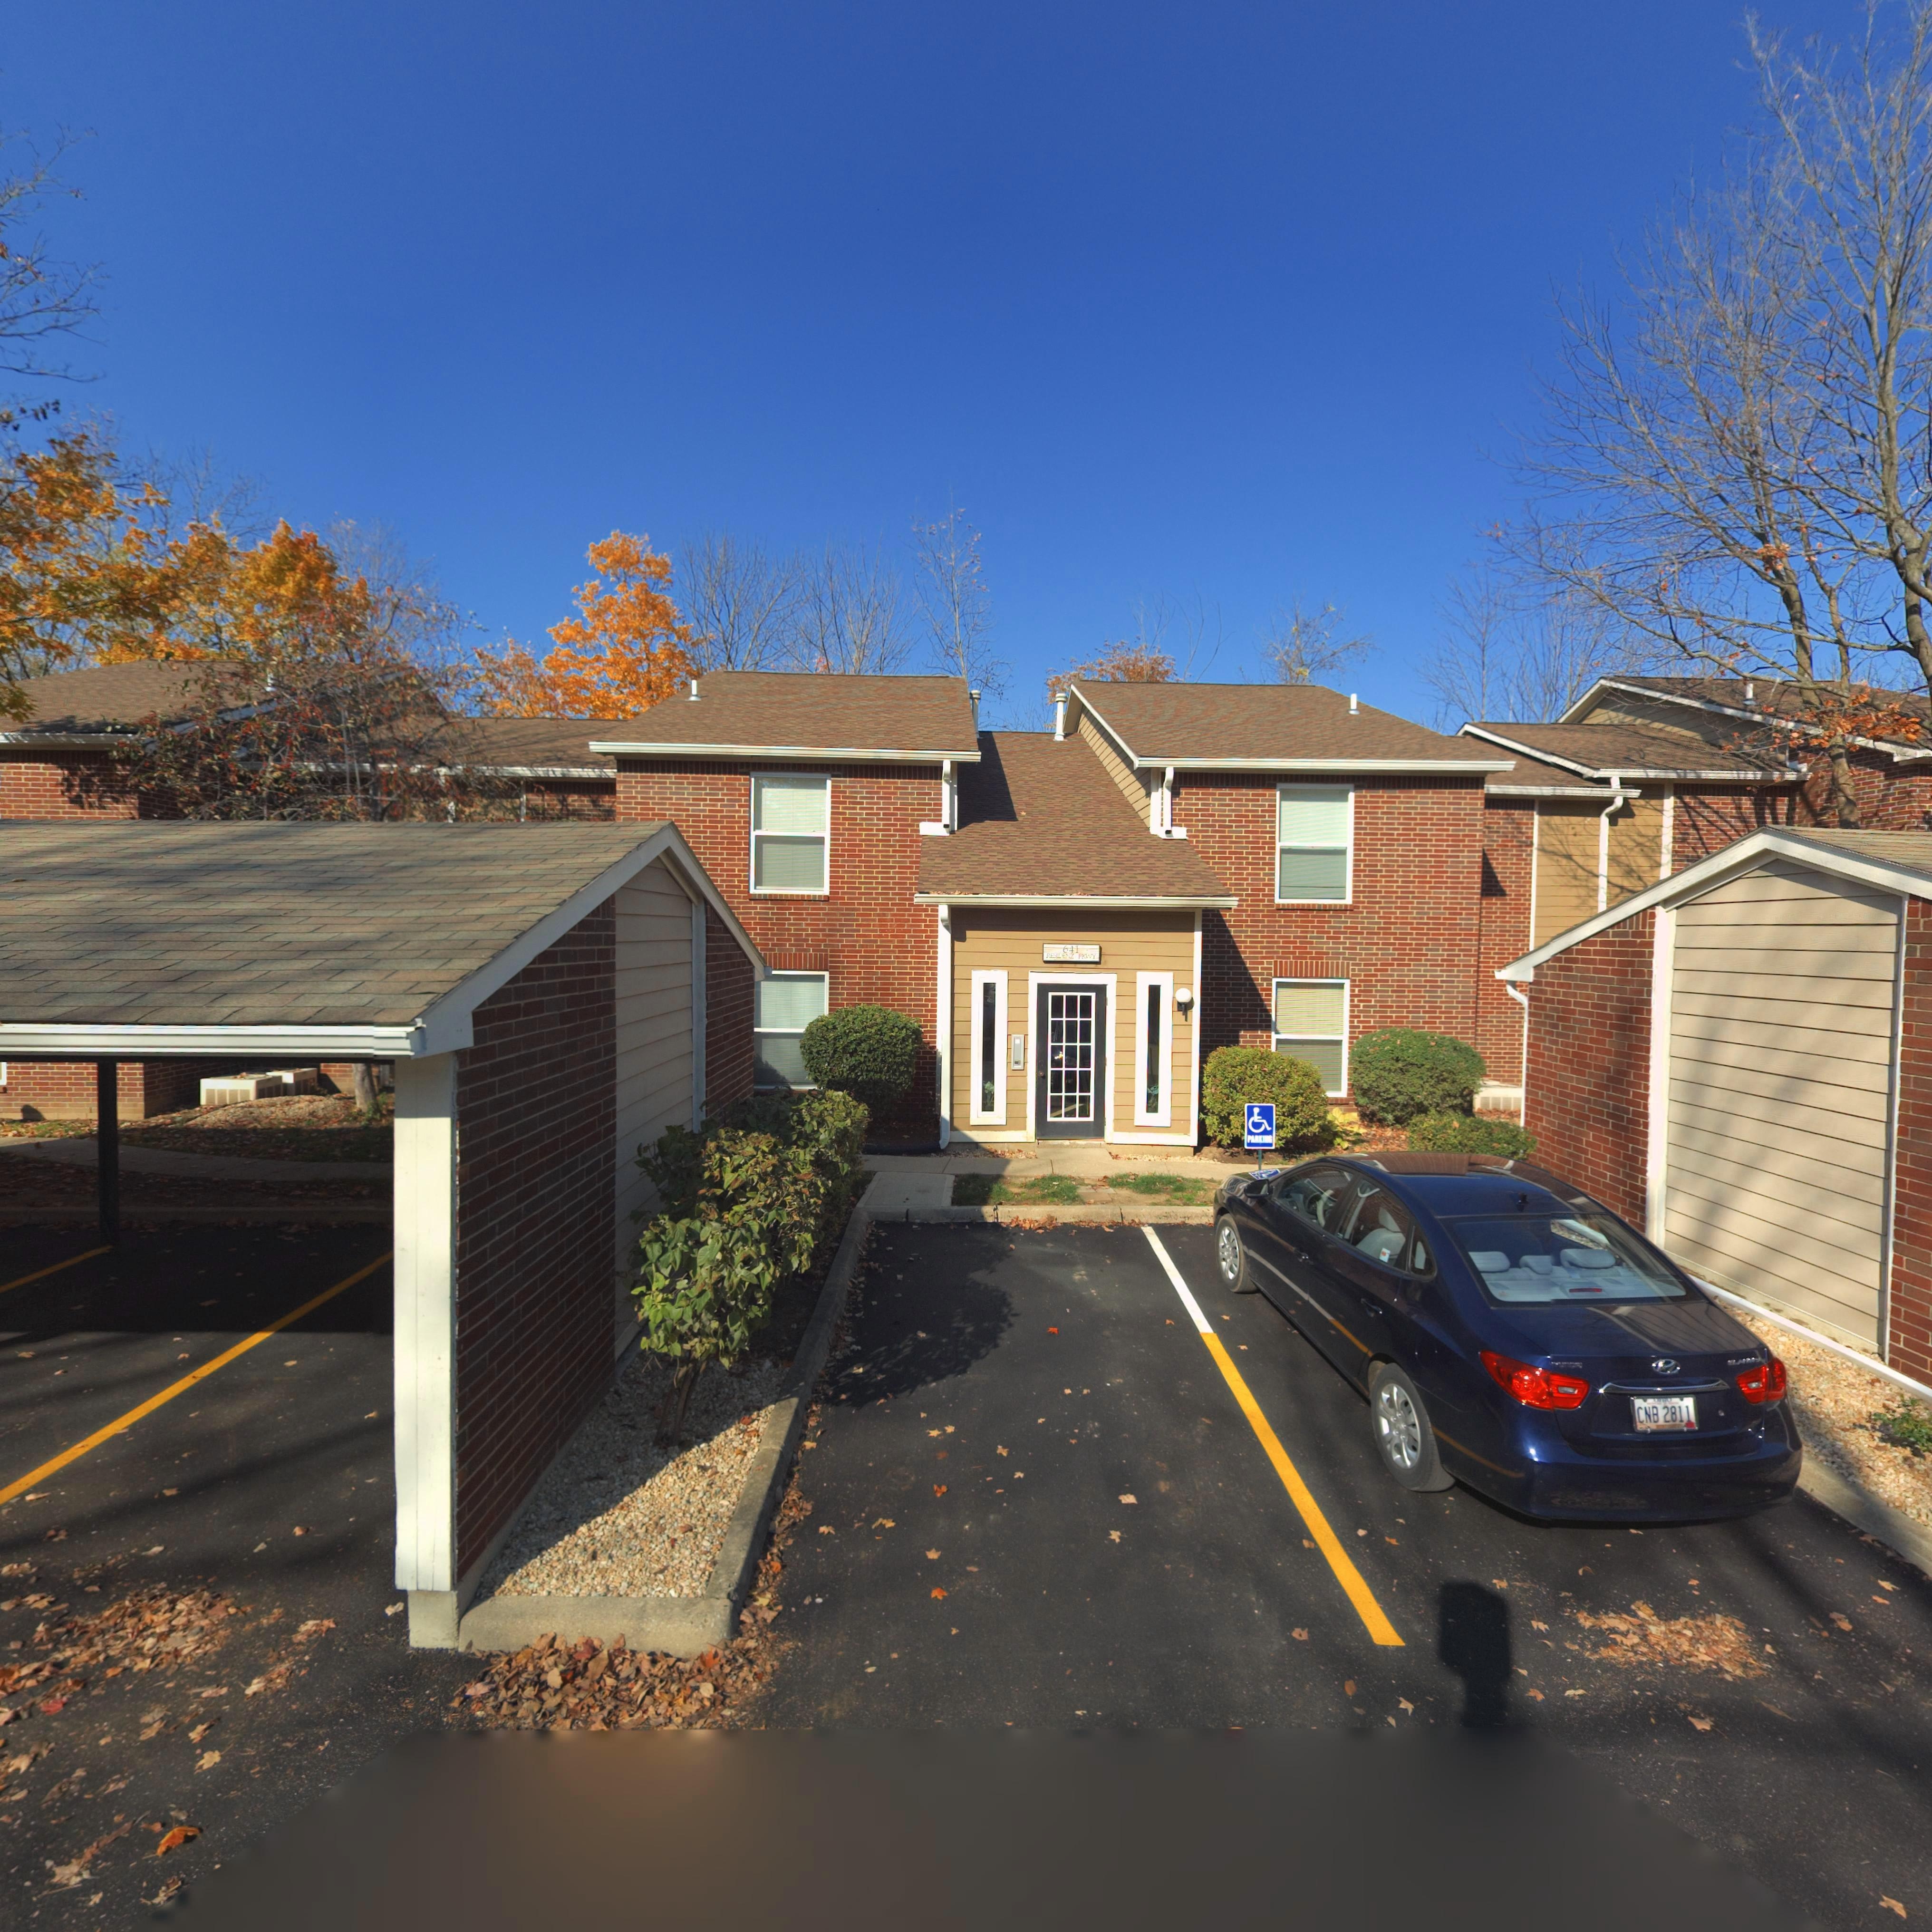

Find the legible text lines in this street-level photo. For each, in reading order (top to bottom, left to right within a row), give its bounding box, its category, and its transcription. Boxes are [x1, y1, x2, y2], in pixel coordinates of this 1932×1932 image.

[1061, 944, 1079, 954] StreetNumber: 641
[1078, 952, 1097, 960] StreetName: PKWY